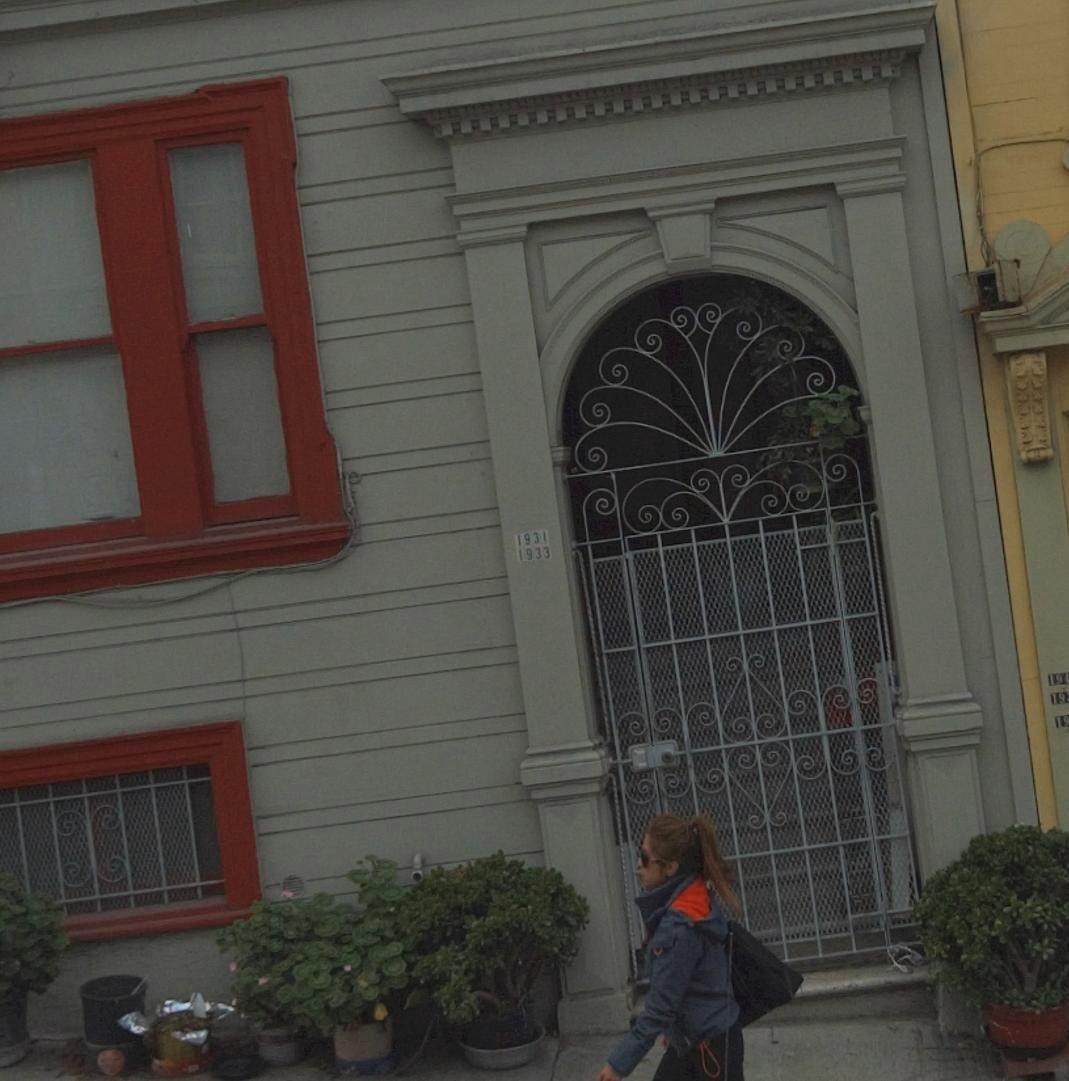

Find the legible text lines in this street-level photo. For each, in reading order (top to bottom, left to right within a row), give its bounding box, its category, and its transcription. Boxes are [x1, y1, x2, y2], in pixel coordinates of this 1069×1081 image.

[515, 528, 549, 549] StreetNumber: 1931
[516, 544, 553, 564] StreetNumber: 1933
[1046, 672, 1066, 688] StreetNumber: 19
[1048, 691, 1067, 706] StreetNumber: 19
[1053, 714, 1065, 731] StreetNumber: 1